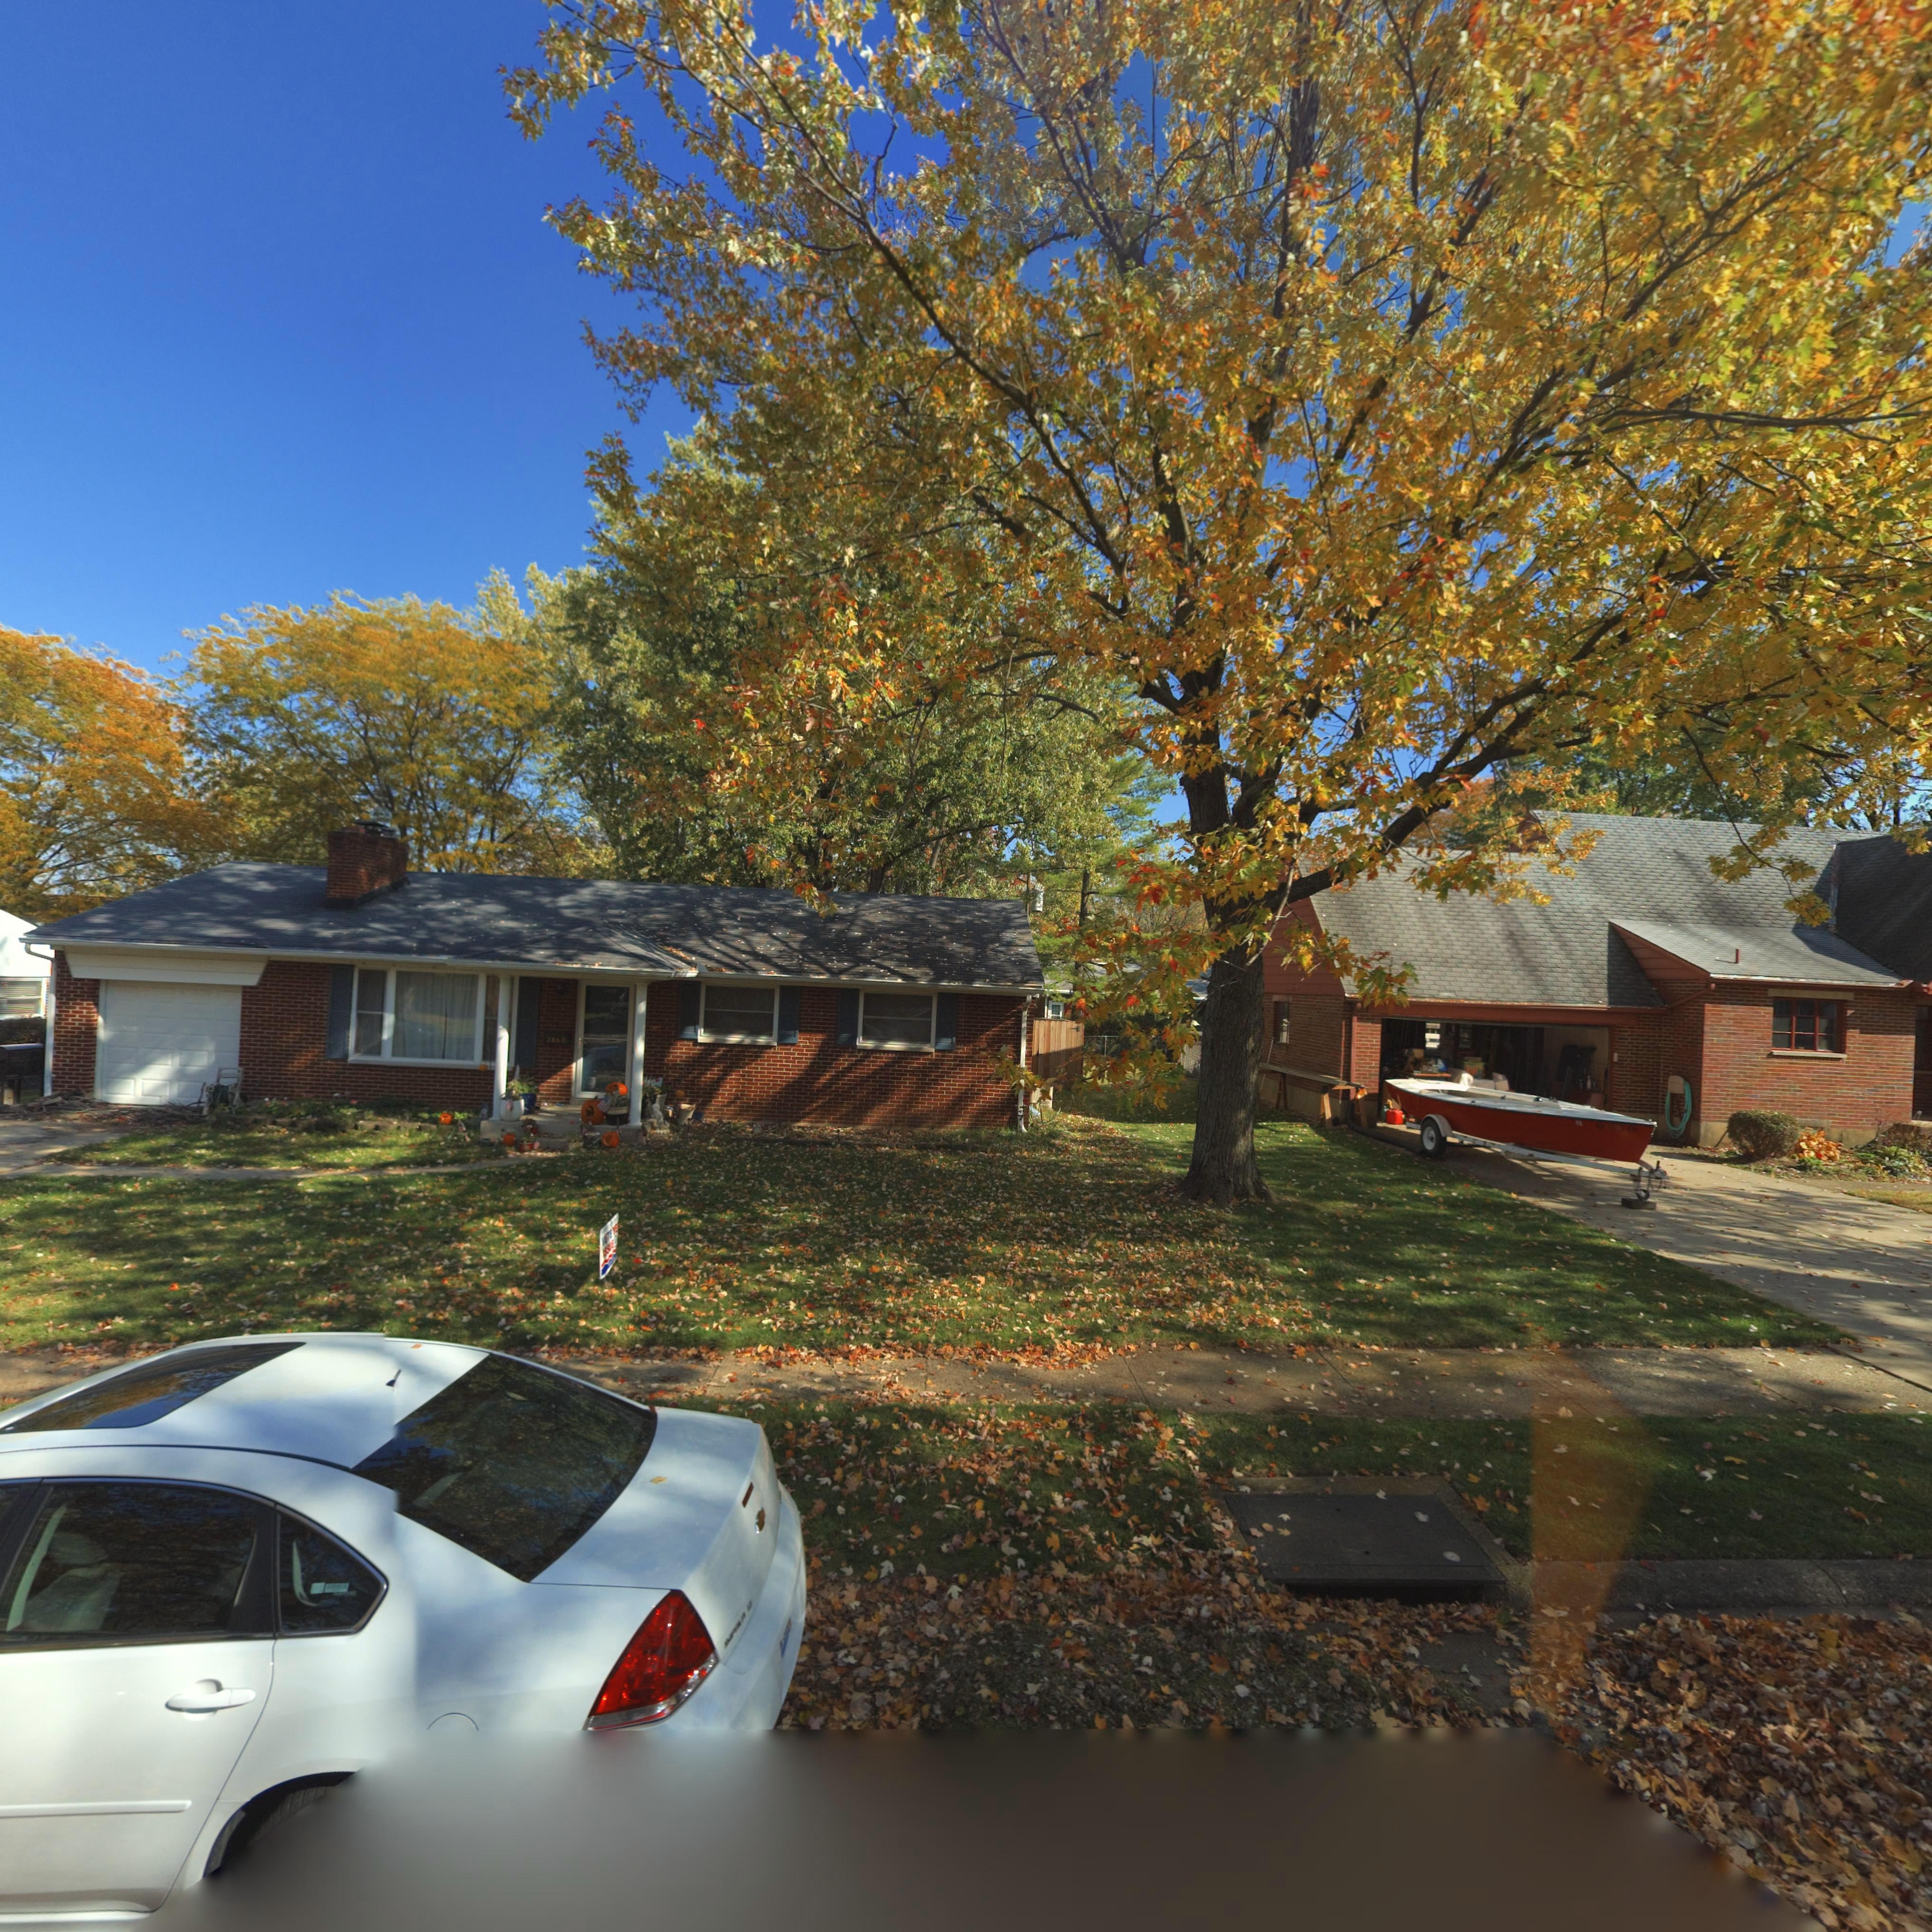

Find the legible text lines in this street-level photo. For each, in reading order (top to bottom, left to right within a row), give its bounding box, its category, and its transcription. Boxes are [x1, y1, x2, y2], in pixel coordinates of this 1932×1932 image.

[545, 1035, 568, 1044] StreetNumber: 3860
[608, 1227, 613, 1241] None: E
[603, 1246, 609, 1258] None: S